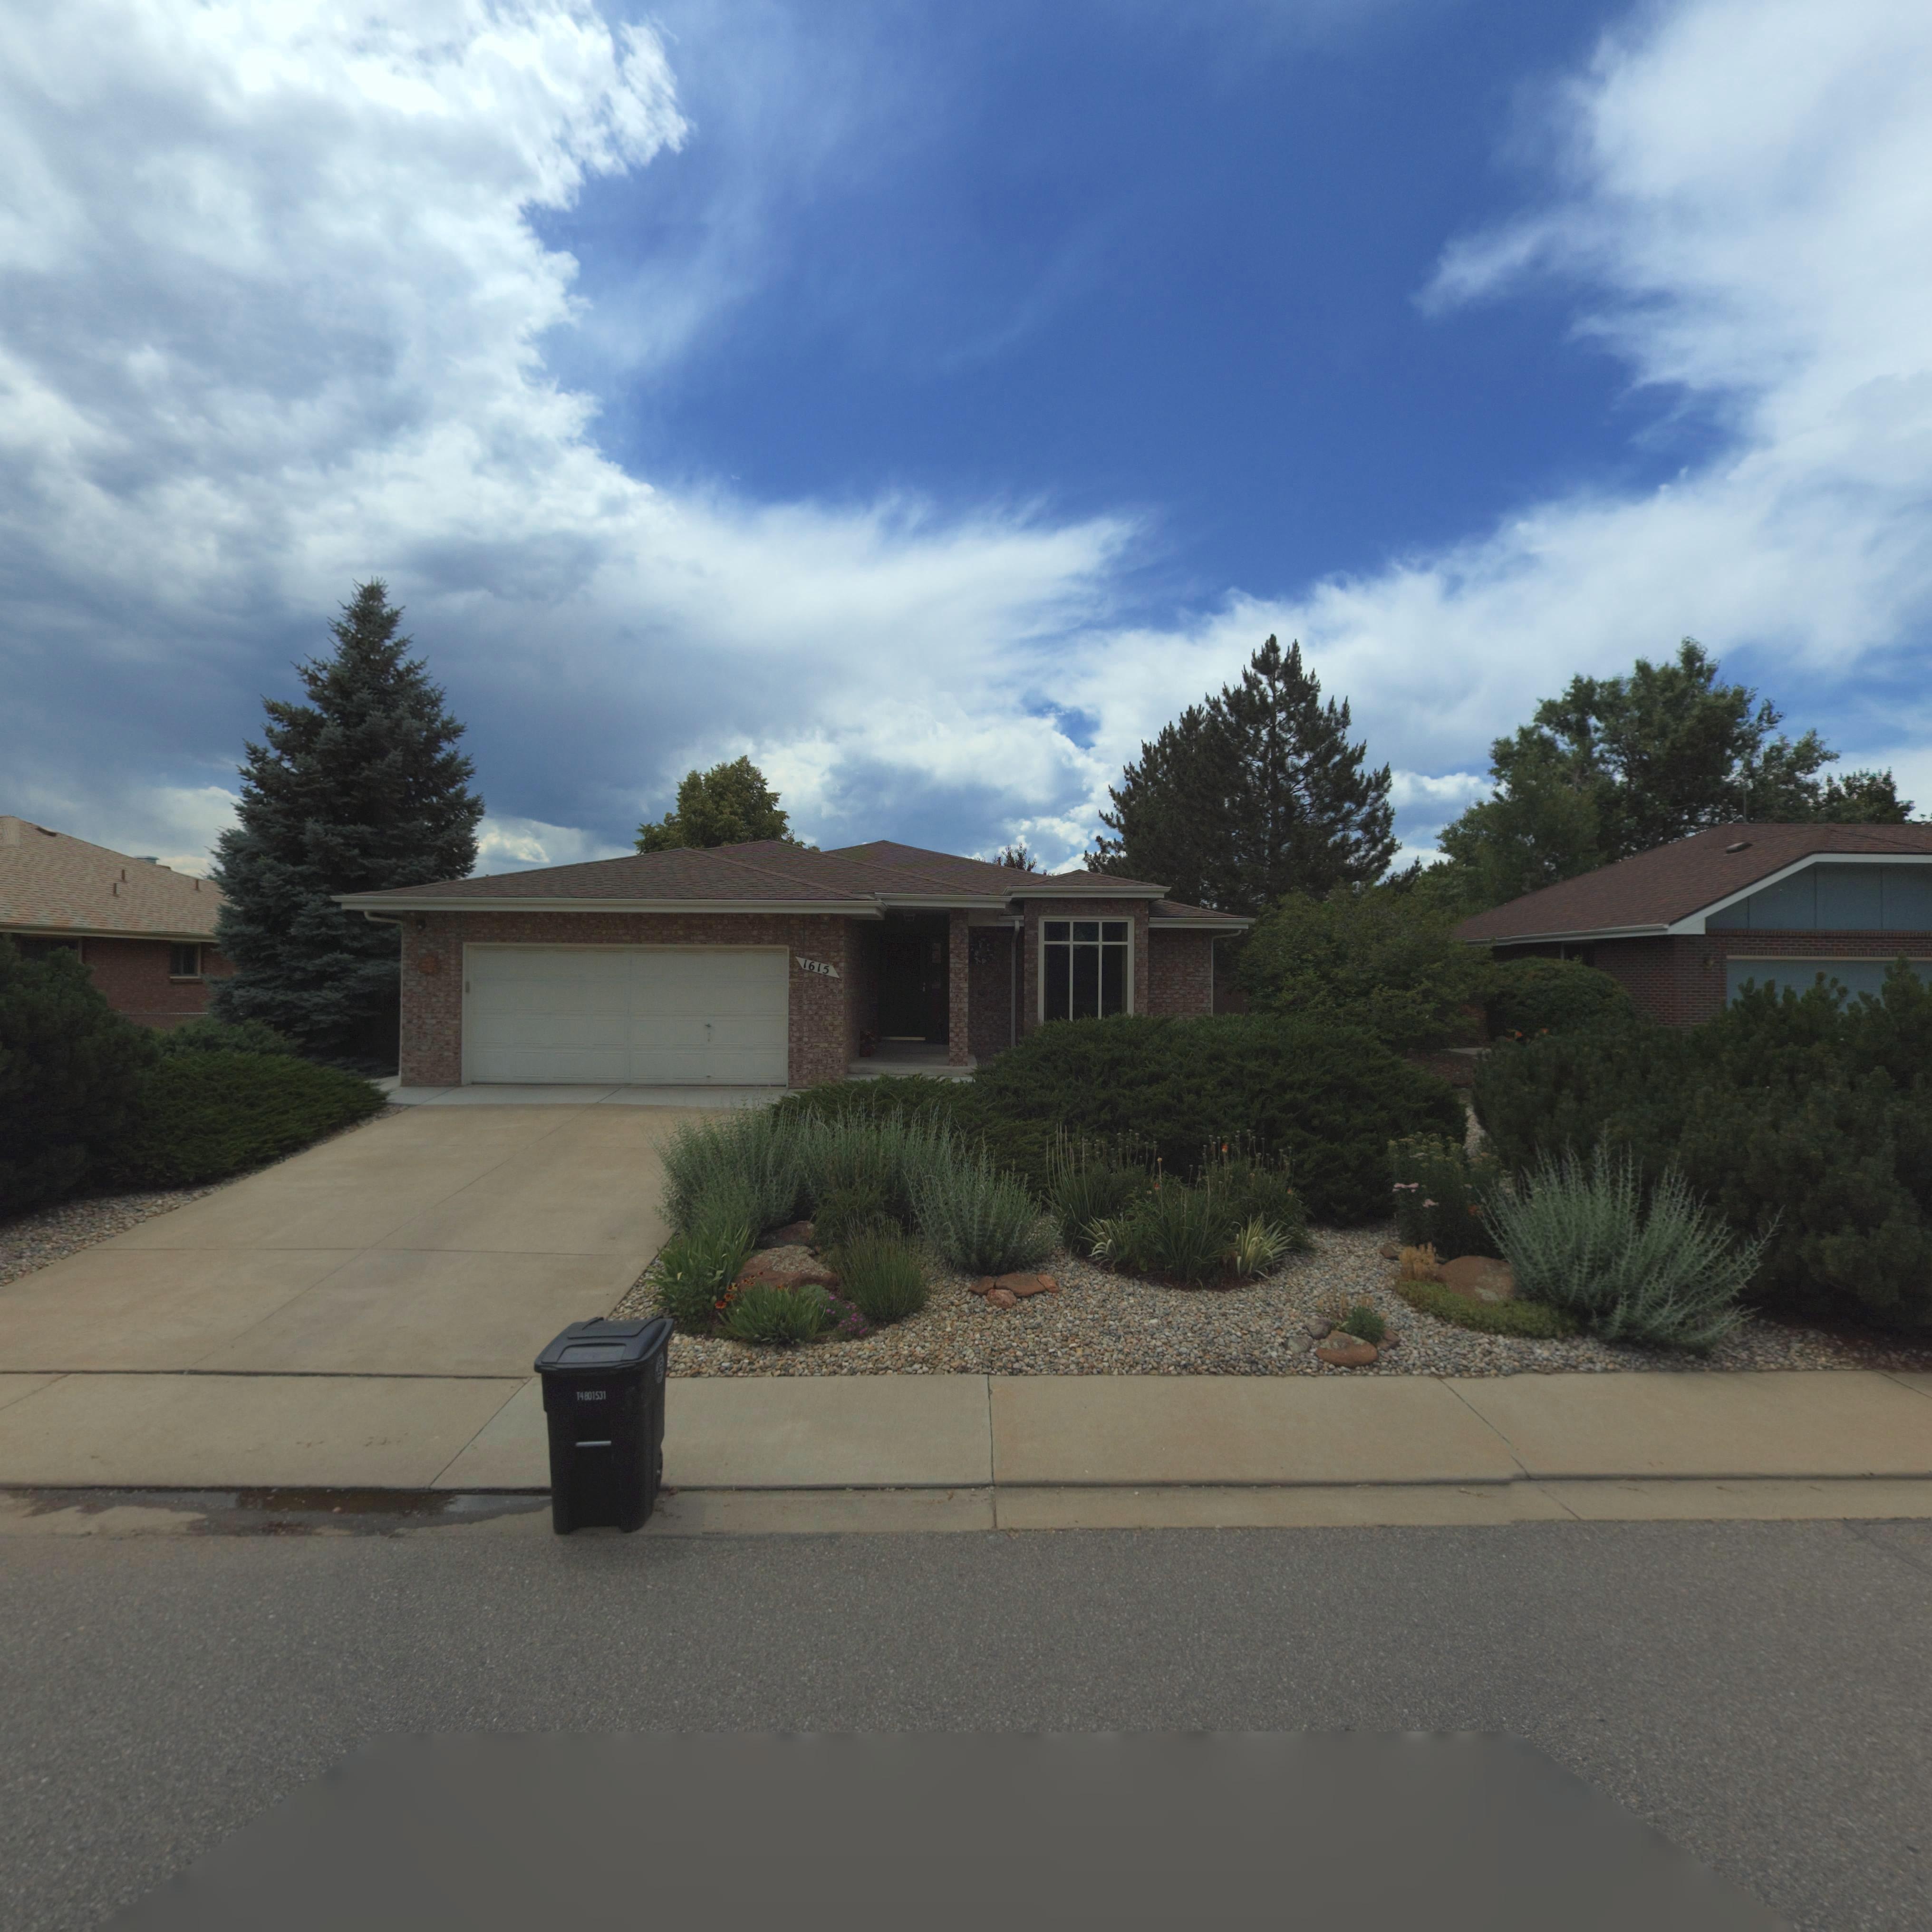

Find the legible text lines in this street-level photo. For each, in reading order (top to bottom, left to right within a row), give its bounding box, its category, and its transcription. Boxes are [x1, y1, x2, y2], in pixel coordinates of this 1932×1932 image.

[803, 959, 829, 974] StreetNumber: 1615